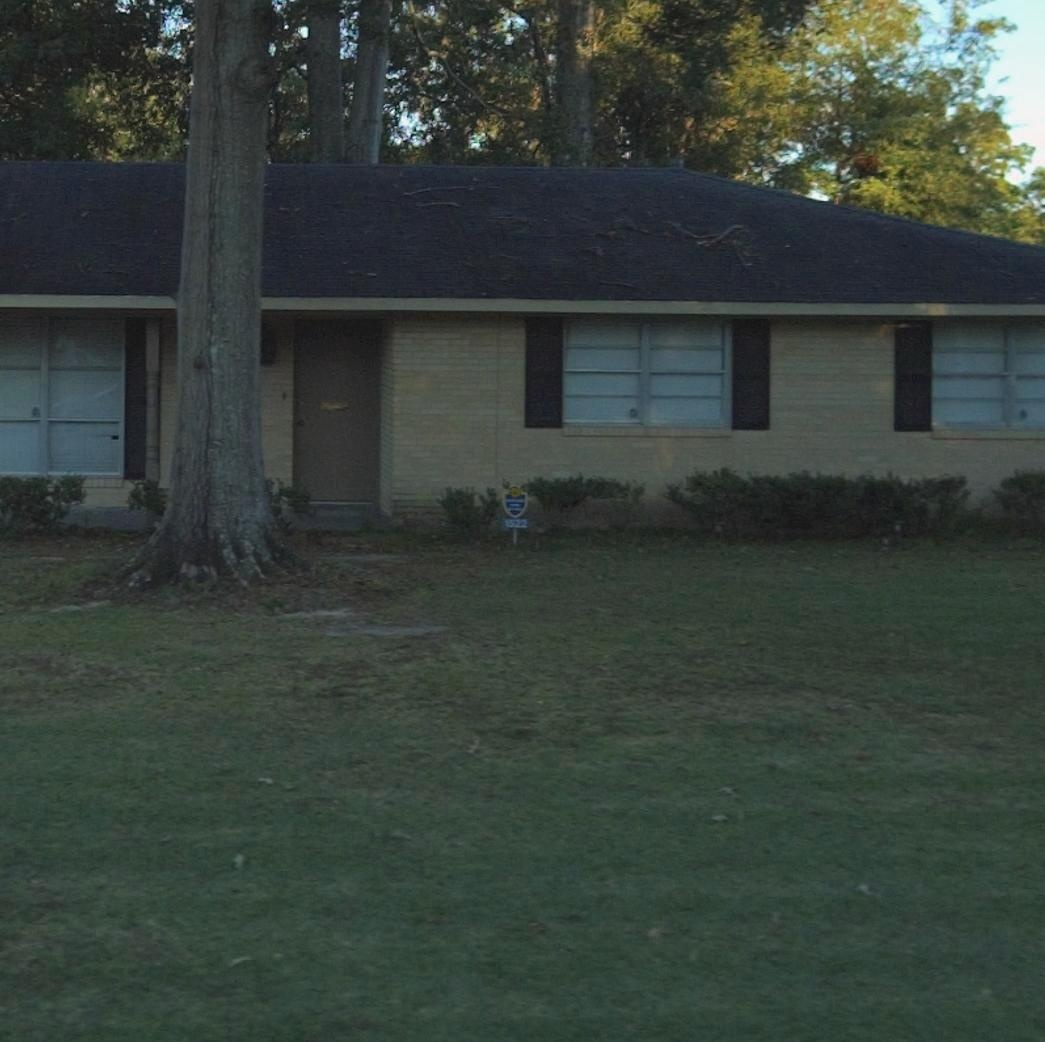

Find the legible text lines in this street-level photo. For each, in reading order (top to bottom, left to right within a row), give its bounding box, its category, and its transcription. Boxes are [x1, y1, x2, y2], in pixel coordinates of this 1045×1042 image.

[504, 518, 529, 529] StreetNumber: 1522